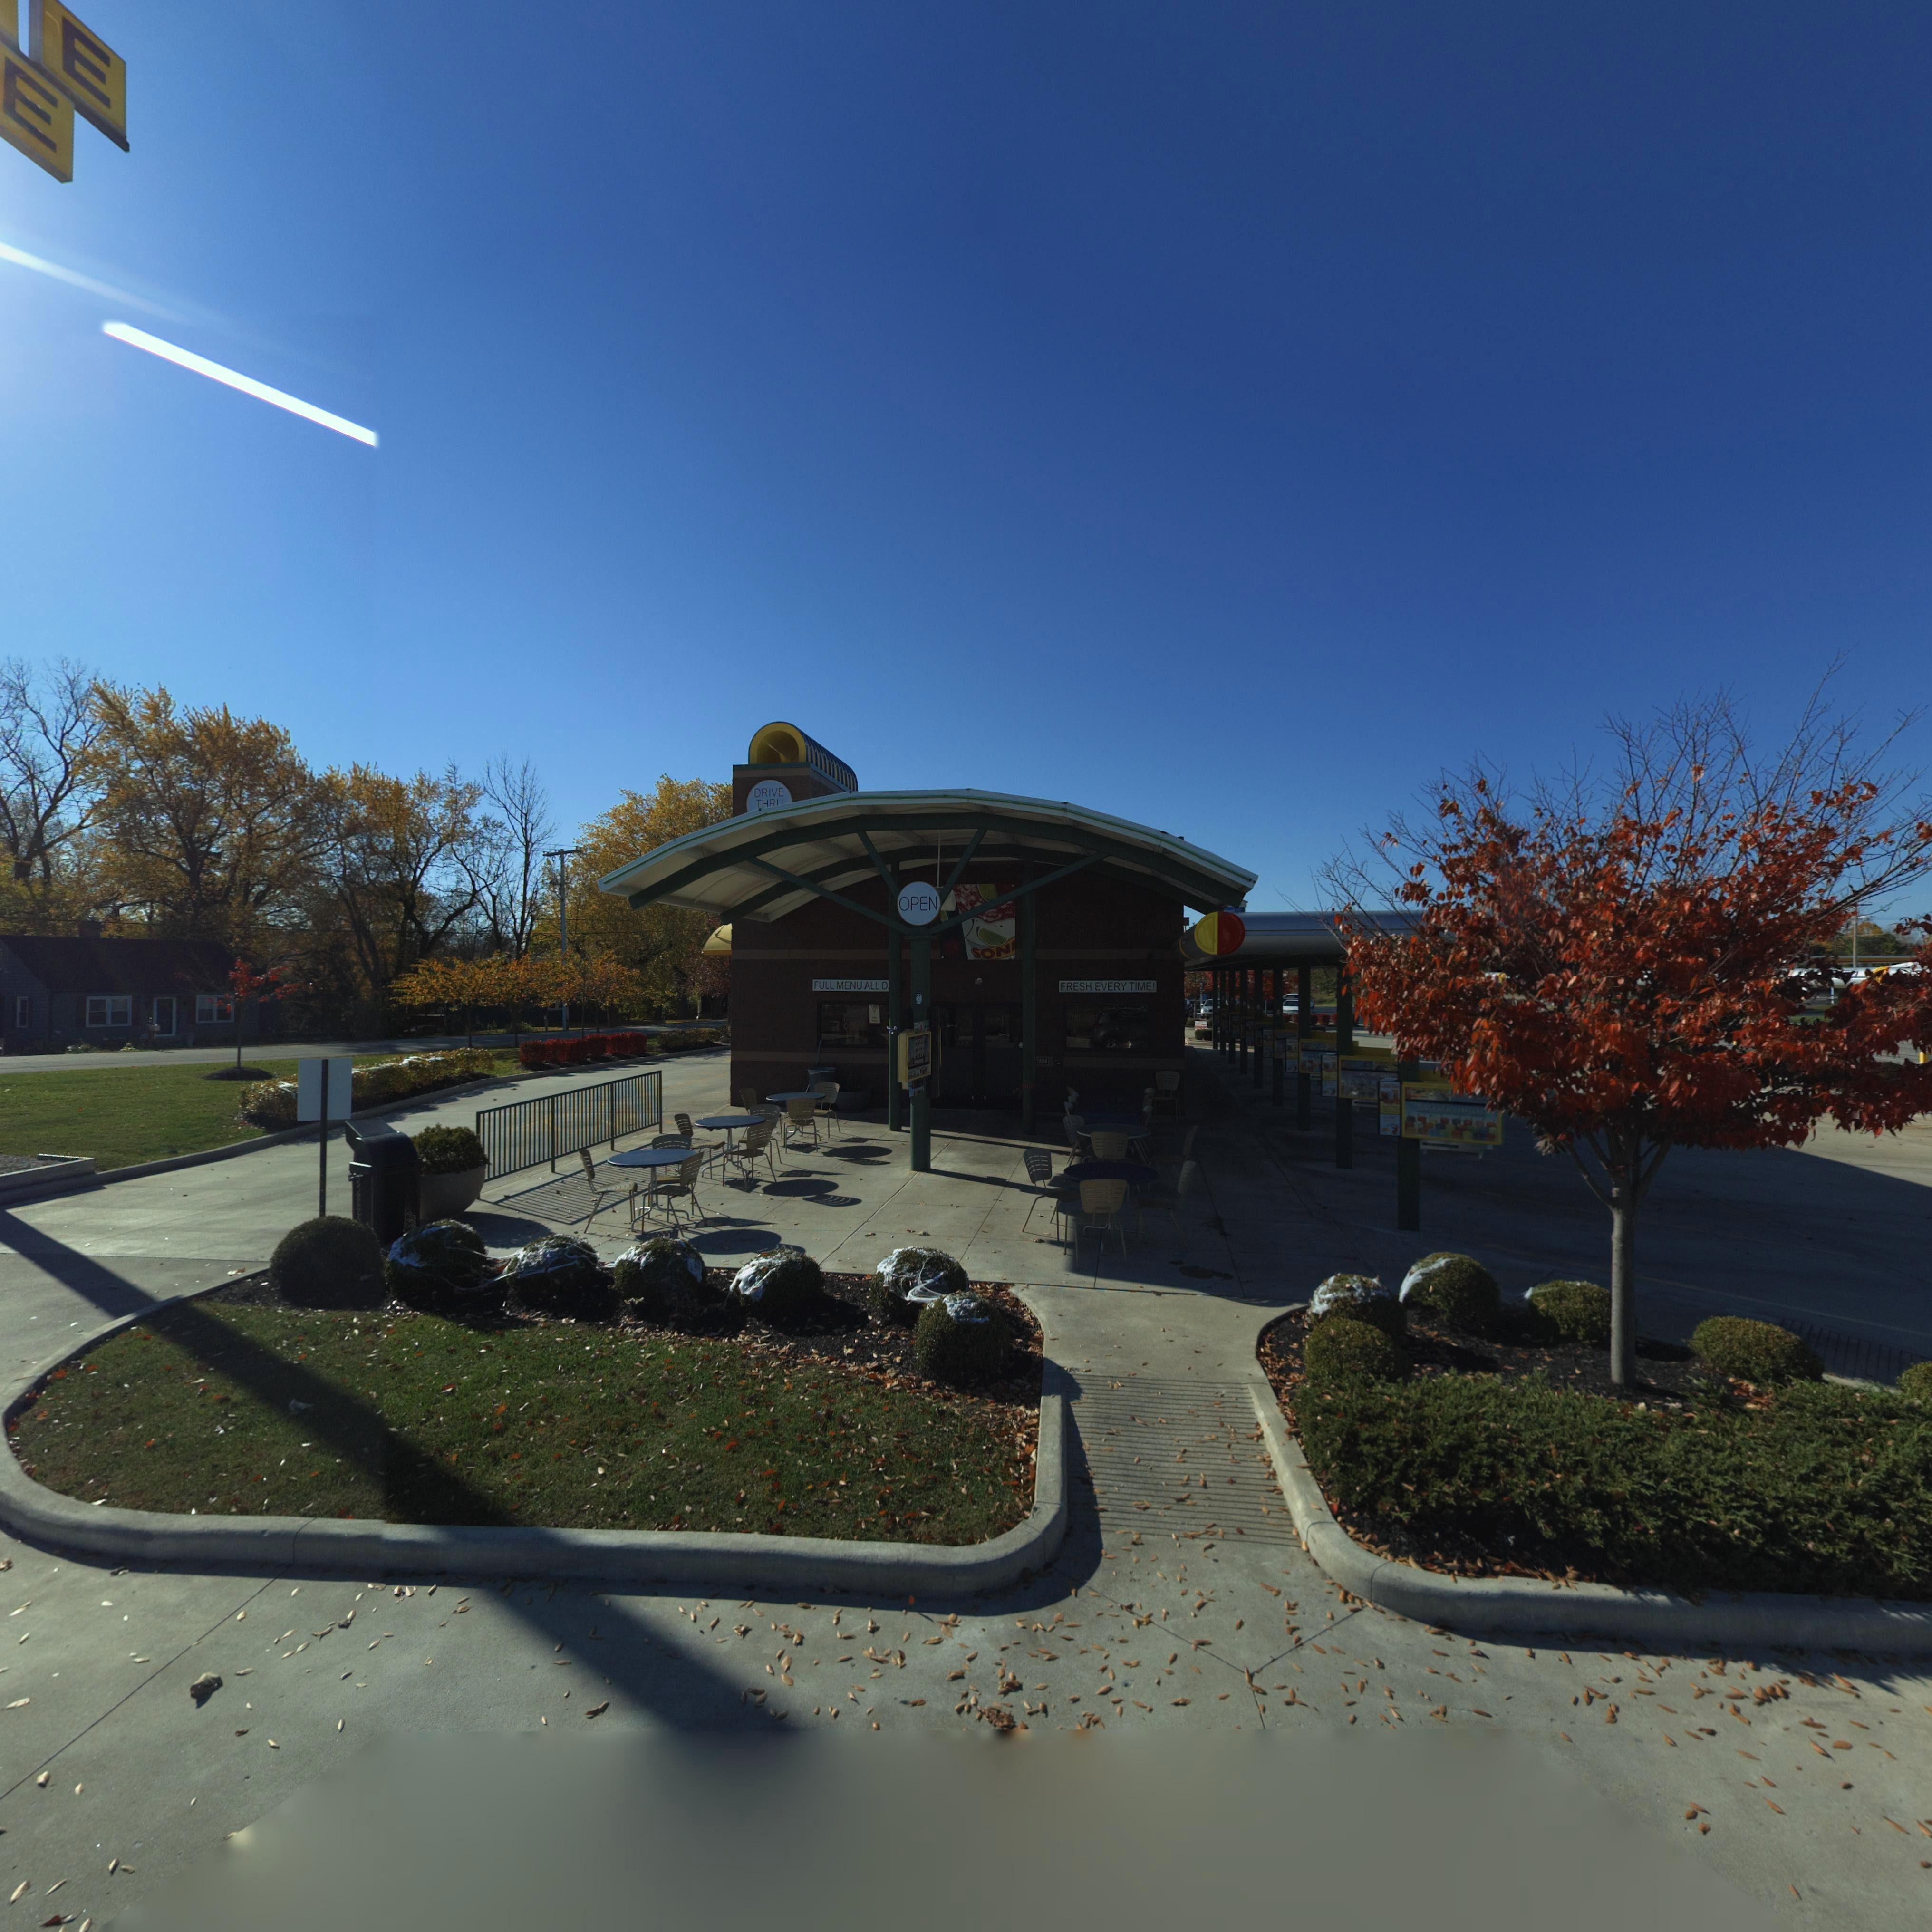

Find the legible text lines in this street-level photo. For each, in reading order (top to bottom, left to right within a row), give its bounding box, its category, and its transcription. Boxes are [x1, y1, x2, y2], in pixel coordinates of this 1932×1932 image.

[1036, 1058, 1048, 1064] StreetNumber: 7*88